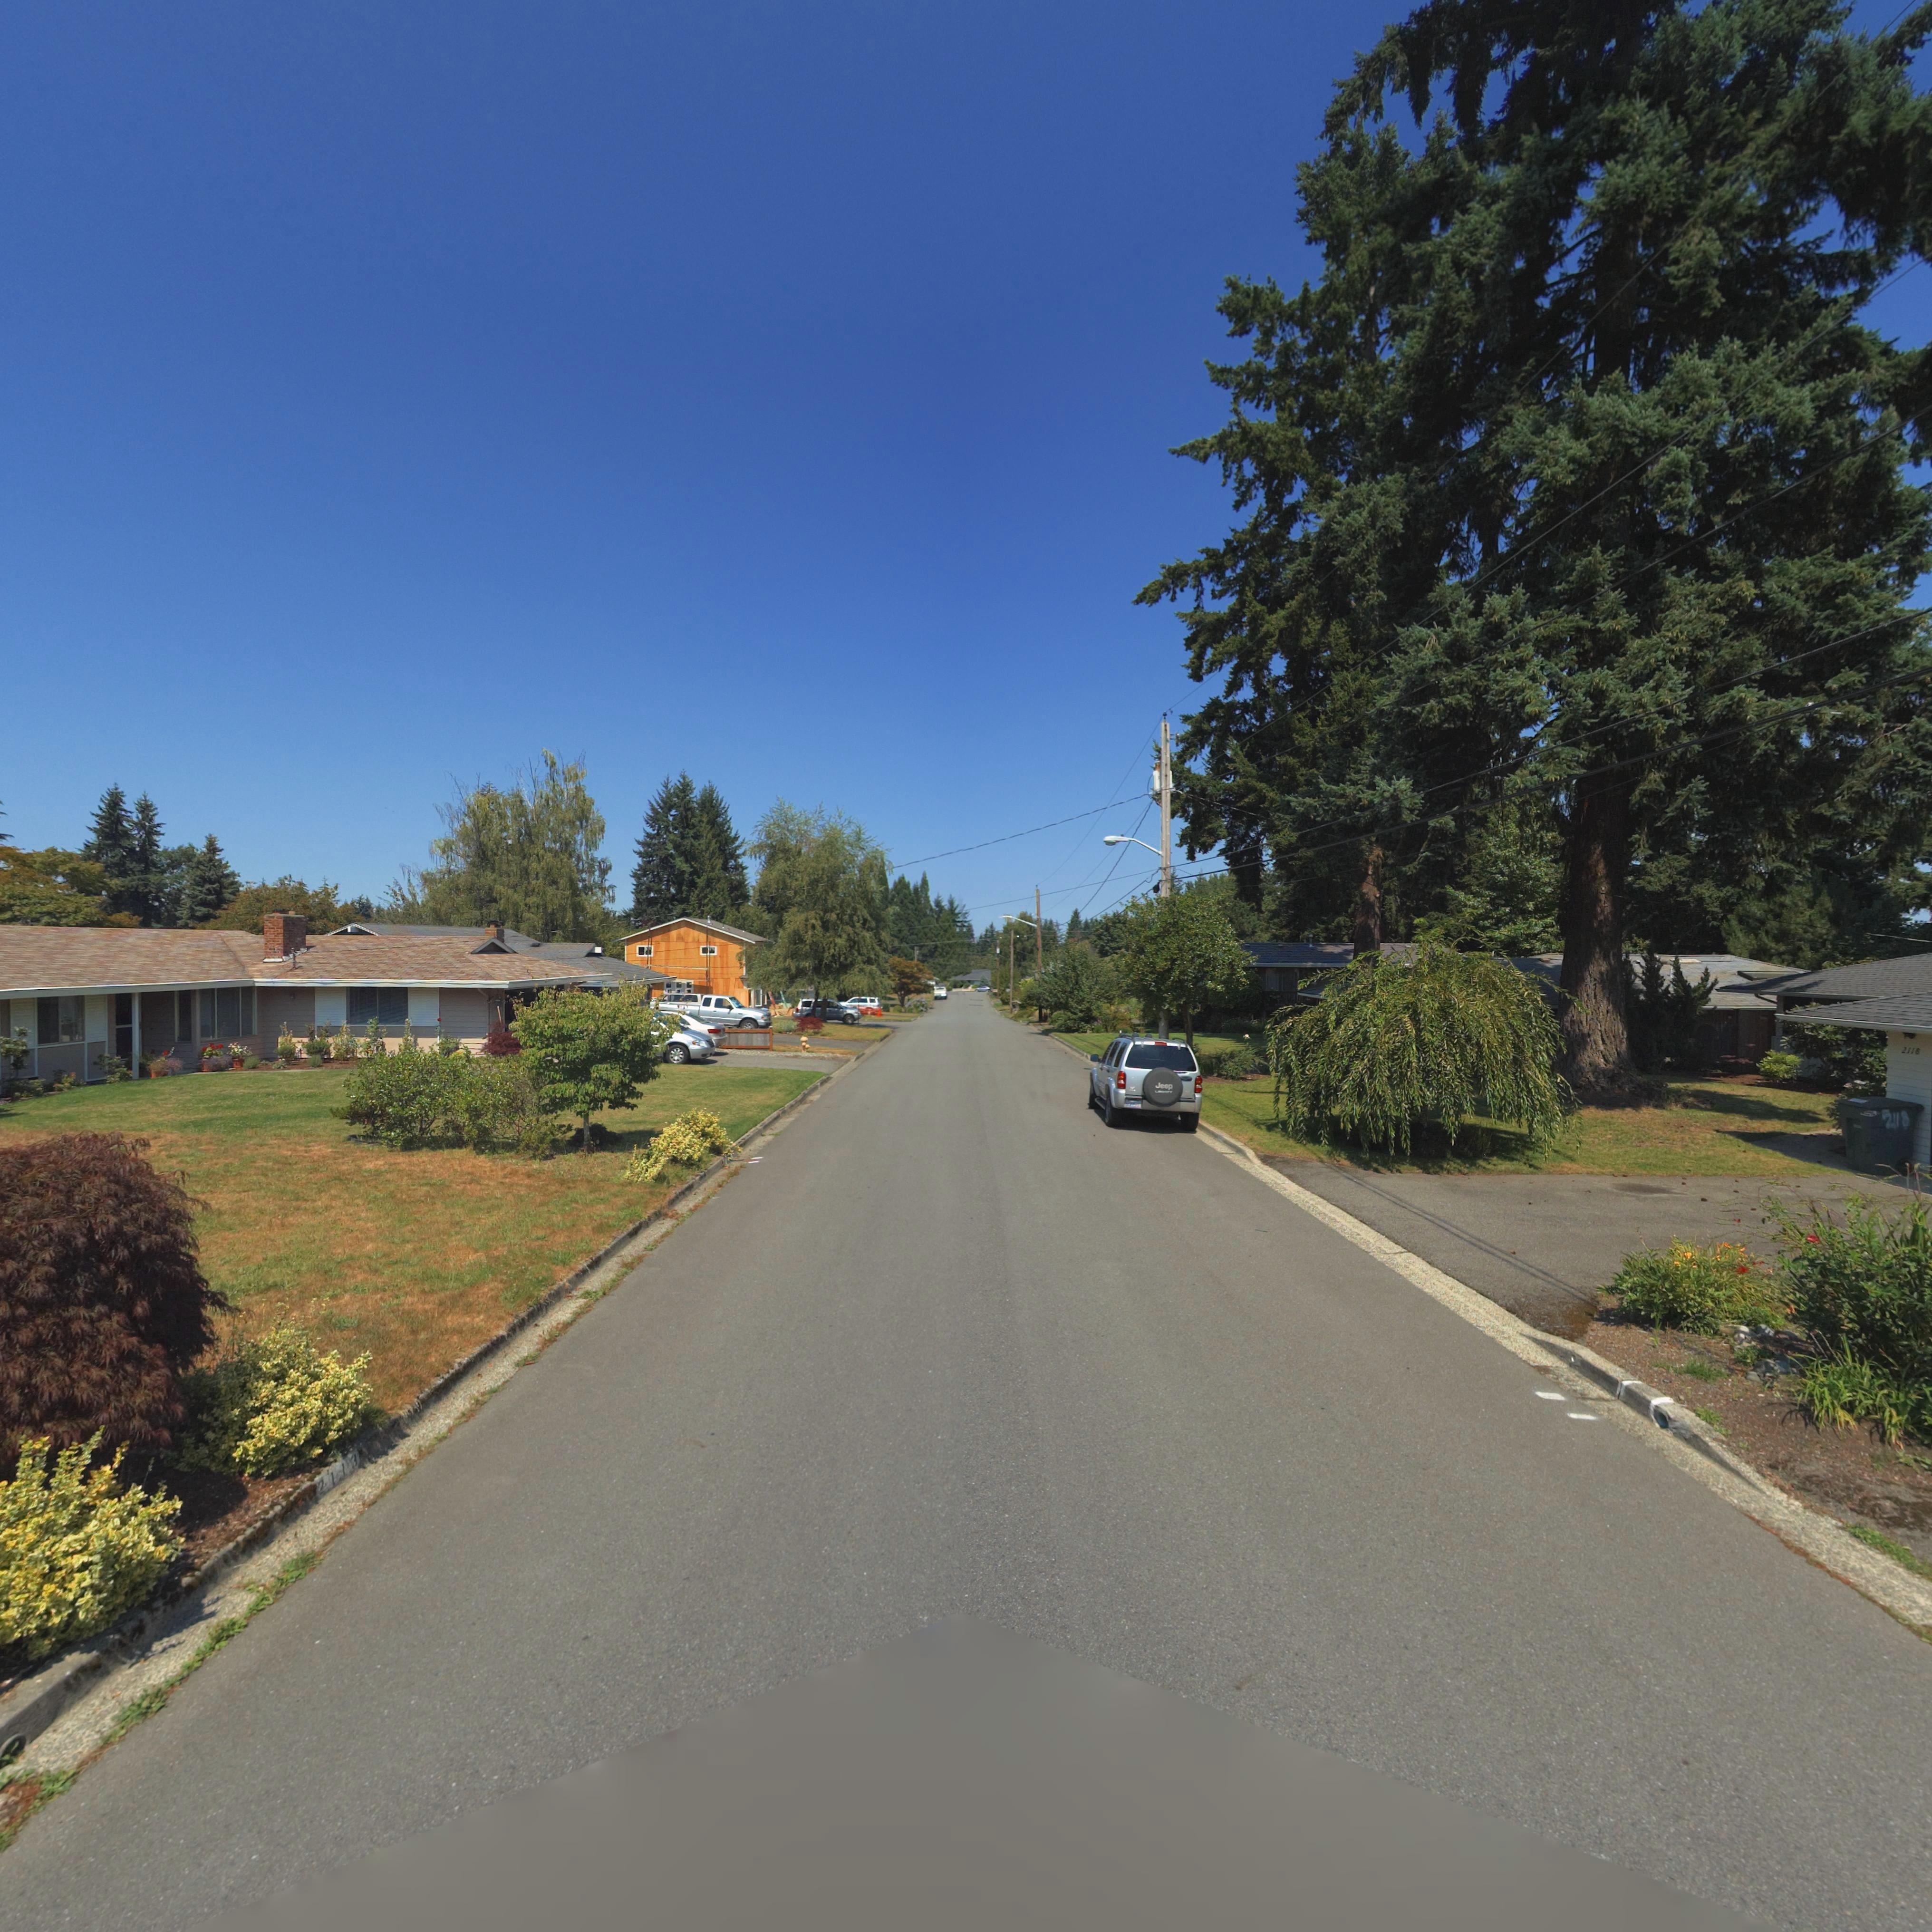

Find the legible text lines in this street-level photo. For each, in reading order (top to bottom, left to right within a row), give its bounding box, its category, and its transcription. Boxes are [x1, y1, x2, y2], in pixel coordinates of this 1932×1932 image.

[1902, 1047, 1921, 1055] StreetNumber: 2118